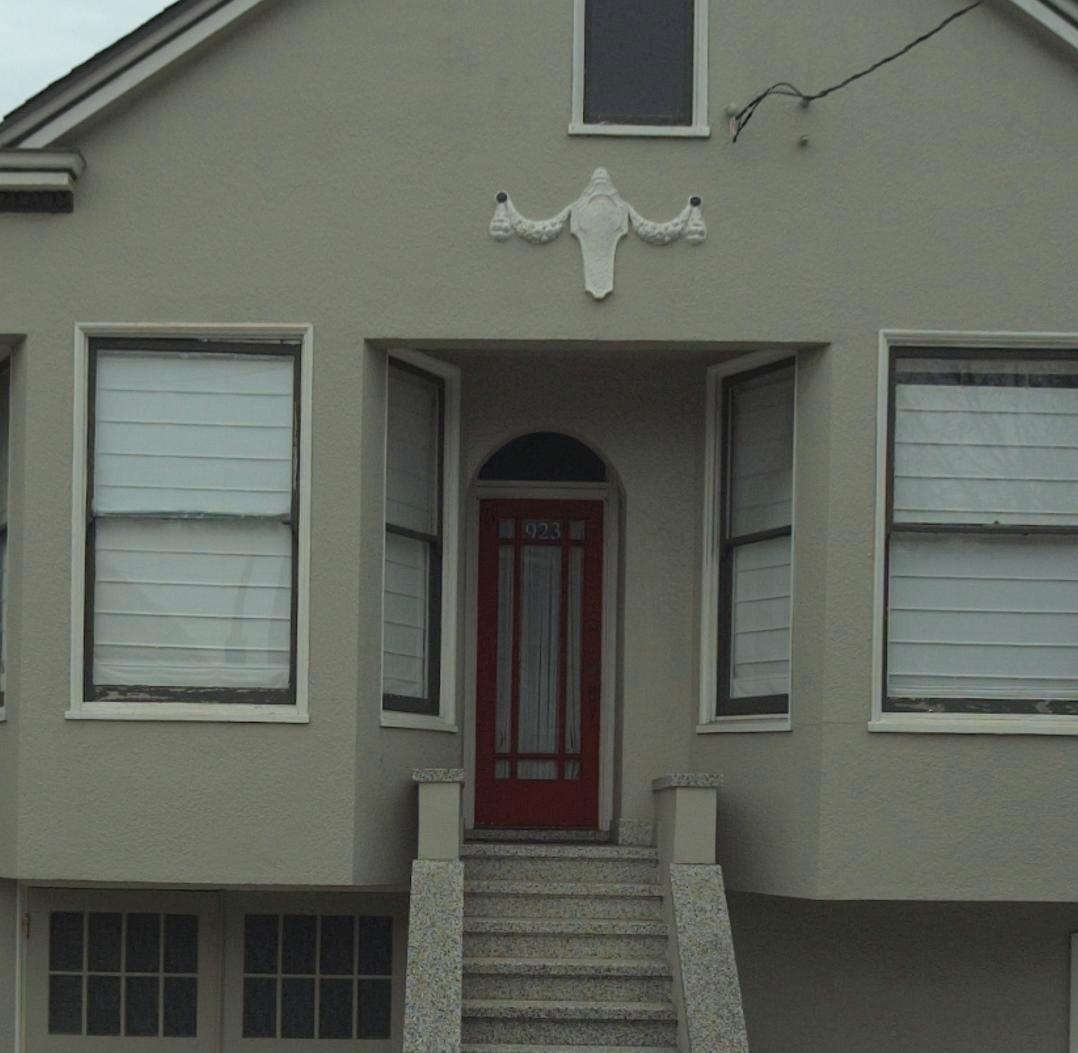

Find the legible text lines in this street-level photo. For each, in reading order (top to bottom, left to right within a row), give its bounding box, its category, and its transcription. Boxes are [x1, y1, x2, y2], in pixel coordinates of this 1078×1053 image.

[523, 521, 562, 541] StreetNumber: 923